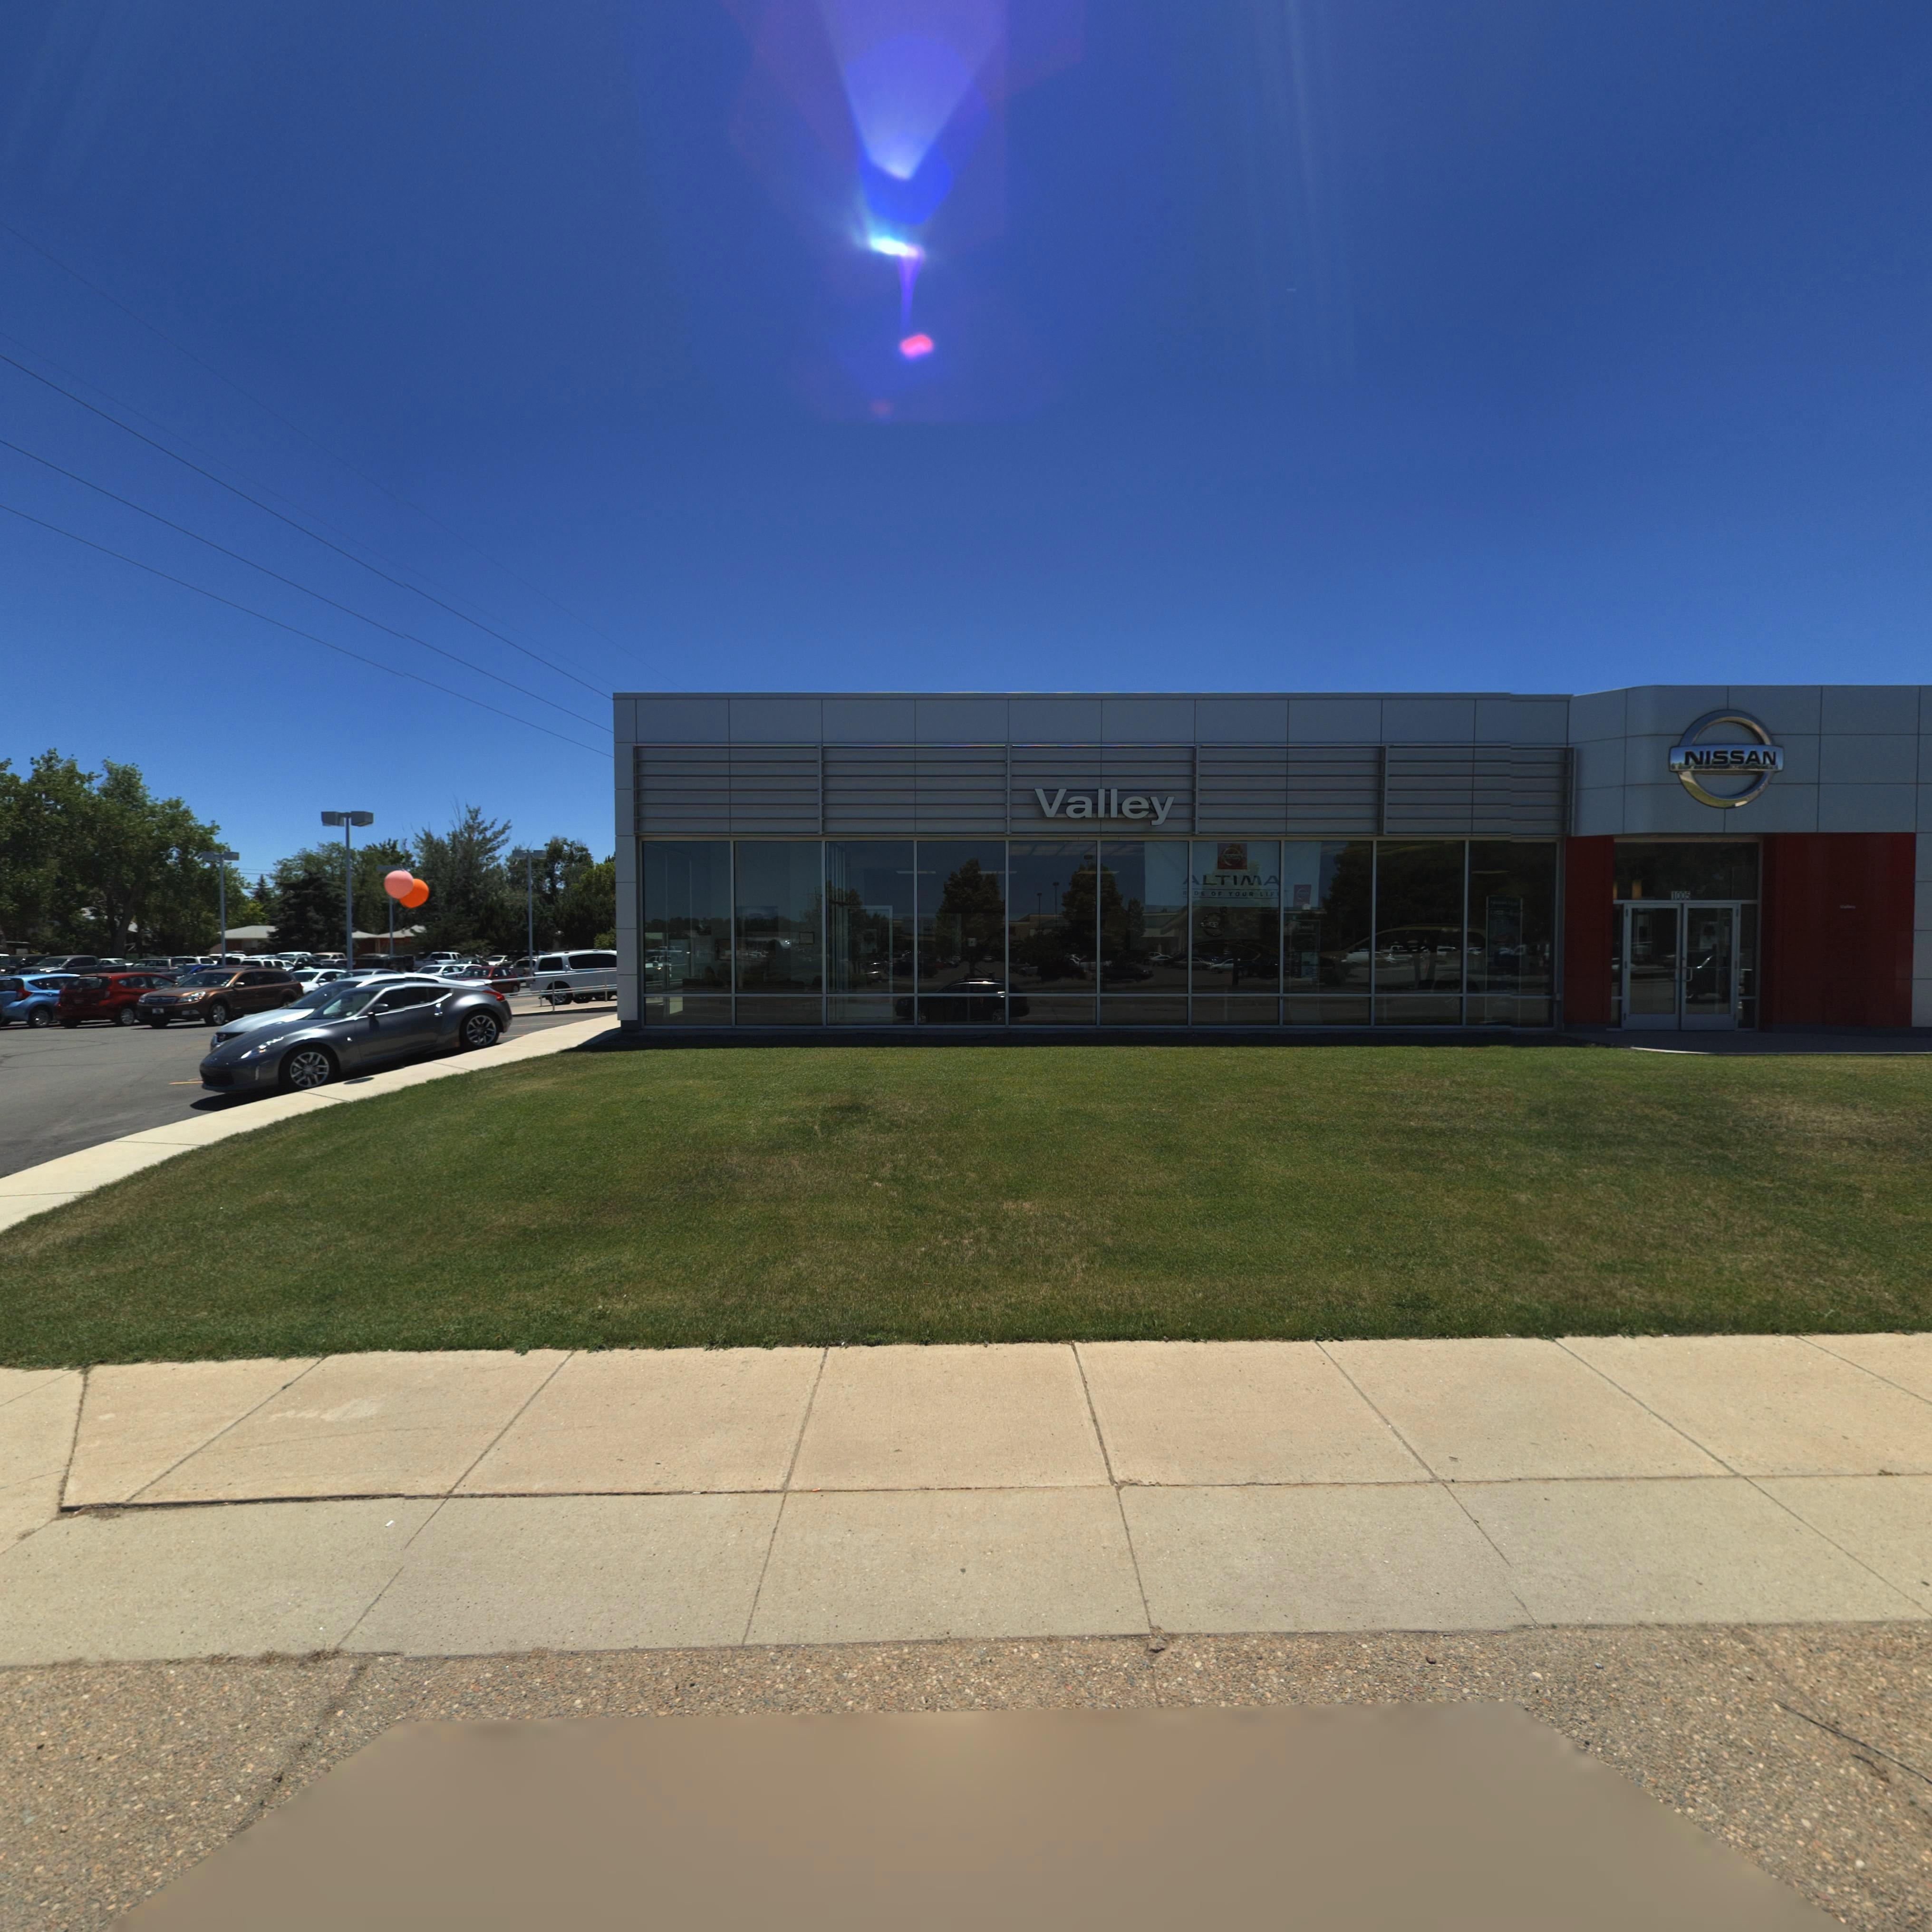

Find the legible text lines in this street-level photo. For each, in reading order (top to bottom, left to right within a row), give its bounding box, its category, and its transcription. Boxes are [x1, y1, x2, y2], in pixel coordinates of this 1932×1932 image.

[1683, 749, 1777, 766] BusinessName: NISSAN
[1032, 787, 1177, 826] BusinessName: Valley
[1672, 891, 1691, 900] StreetNumber: 1005